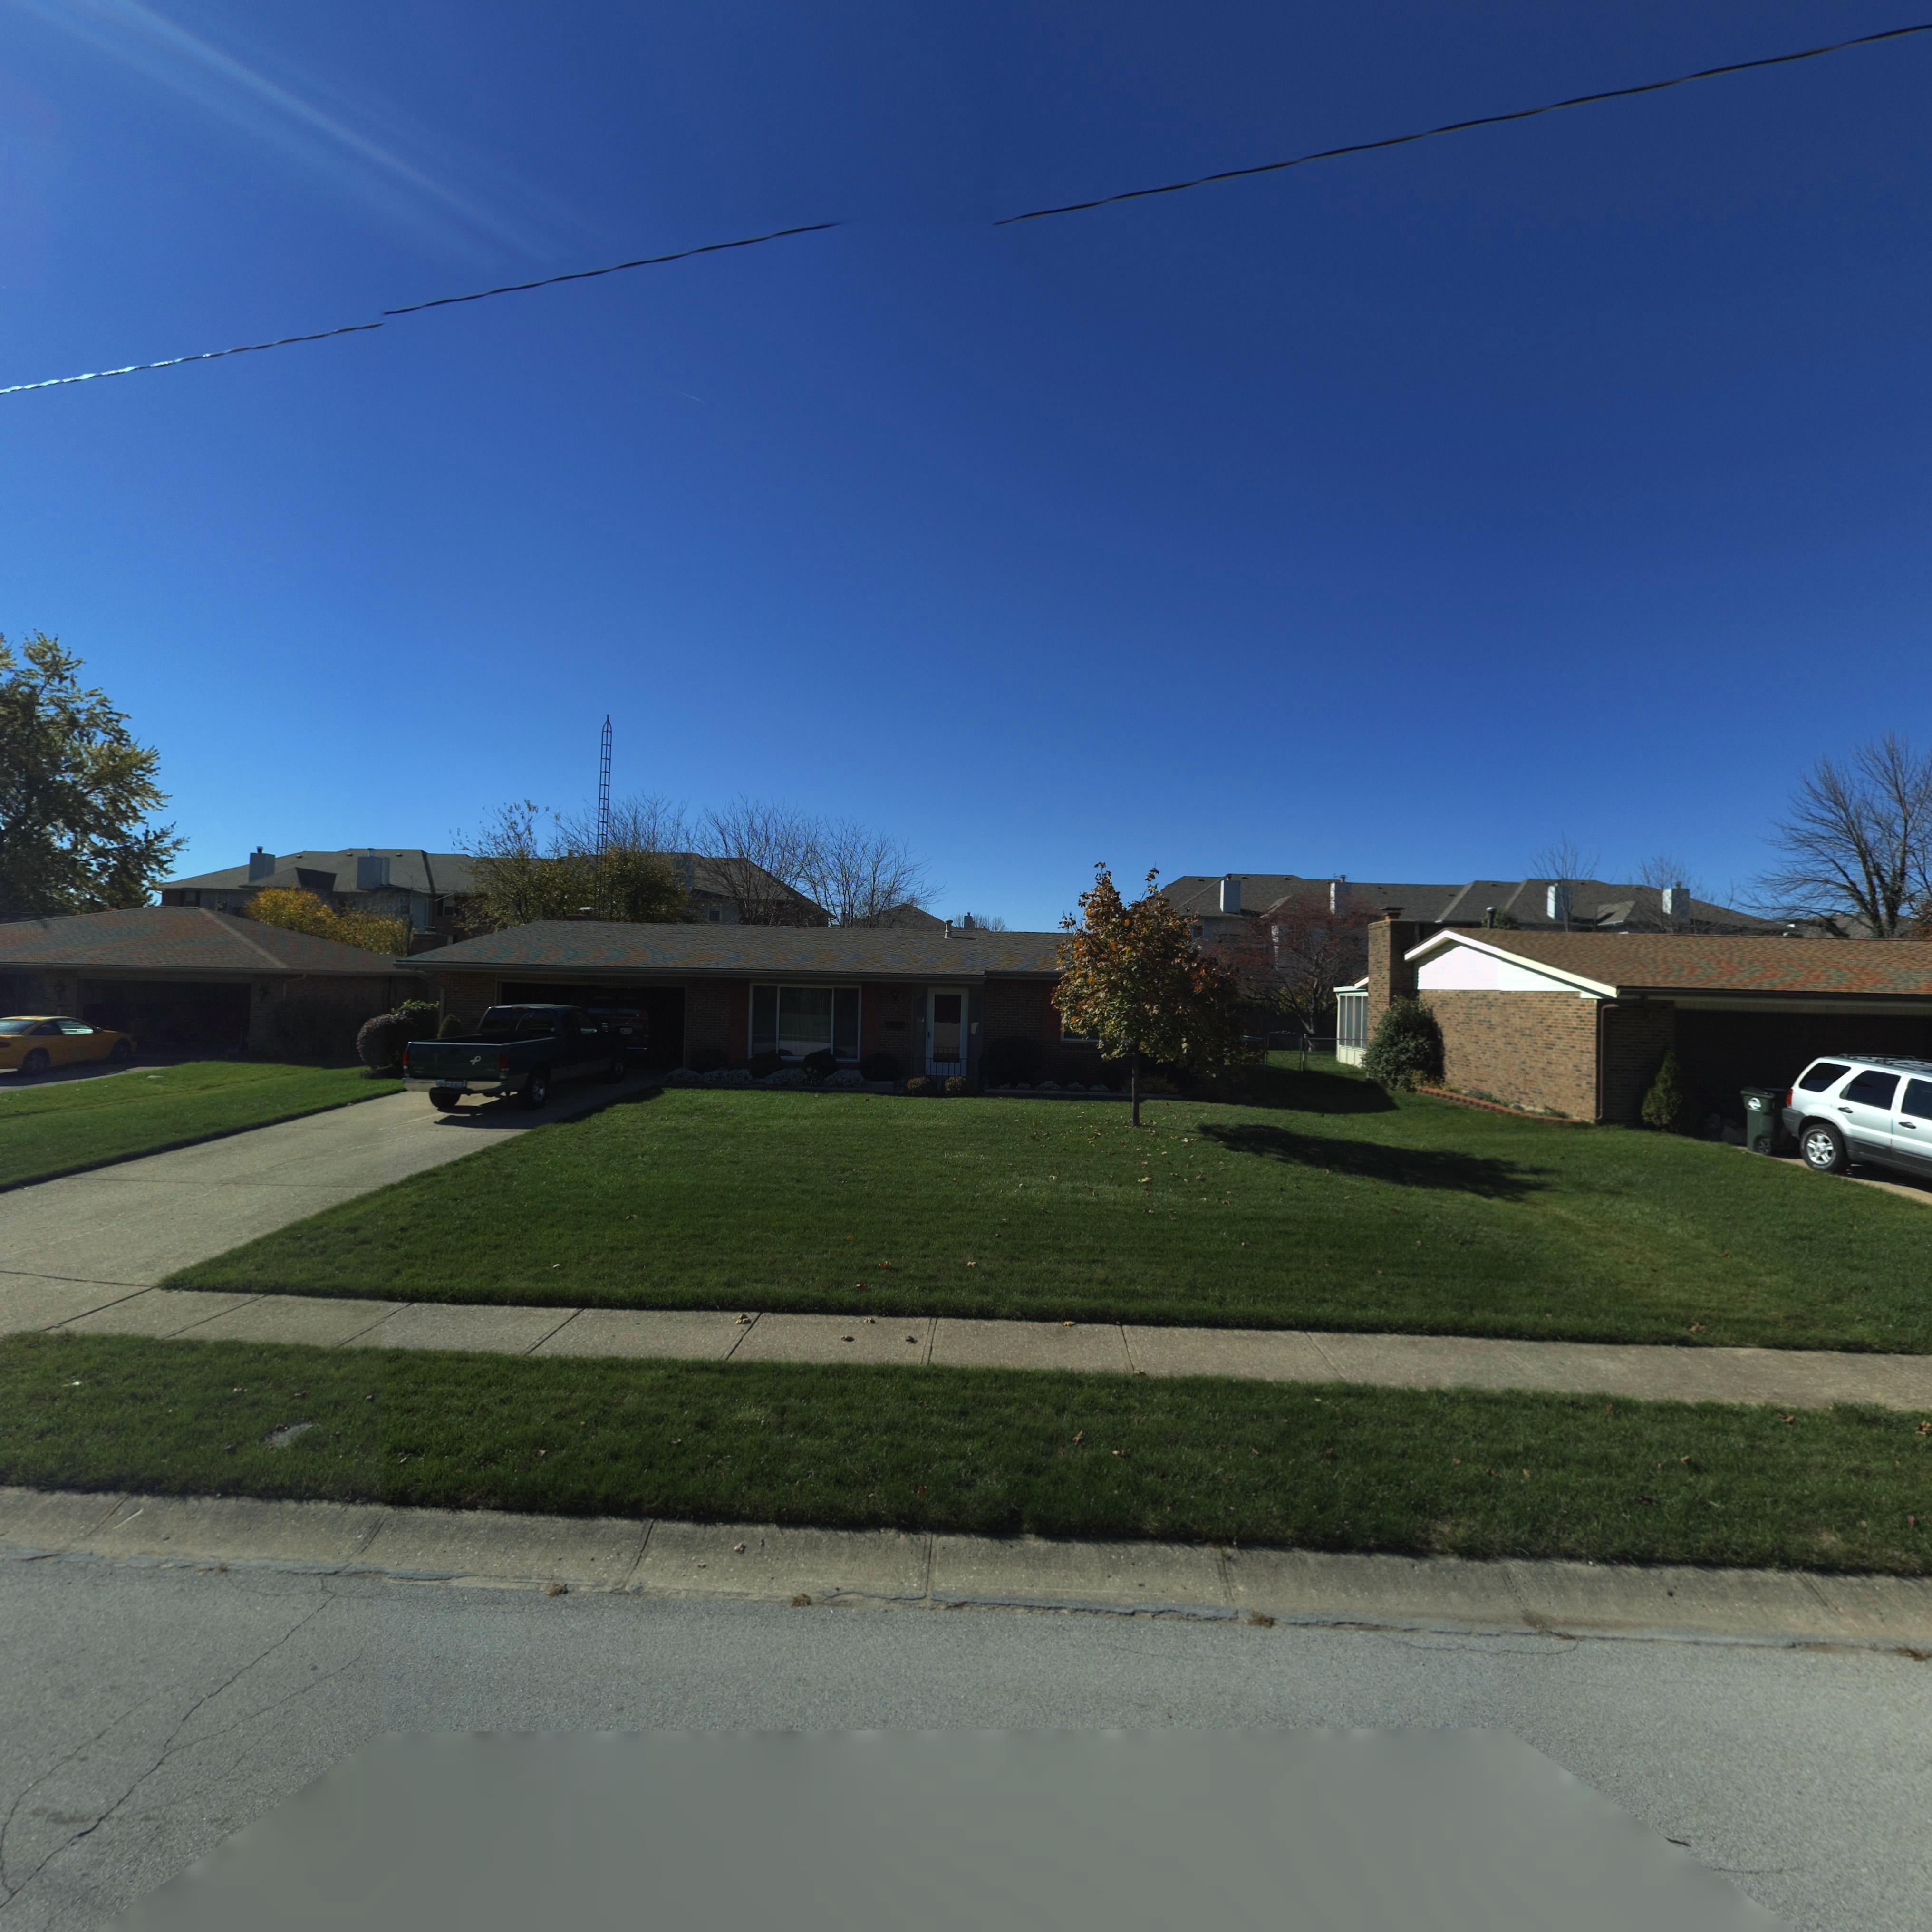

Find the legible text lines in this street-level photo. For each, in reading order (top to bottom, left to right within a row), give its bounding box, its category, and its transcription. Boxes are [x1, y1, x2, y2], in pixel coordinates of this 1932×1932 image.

[593, 975, 598, 981] StreetNumber: 9